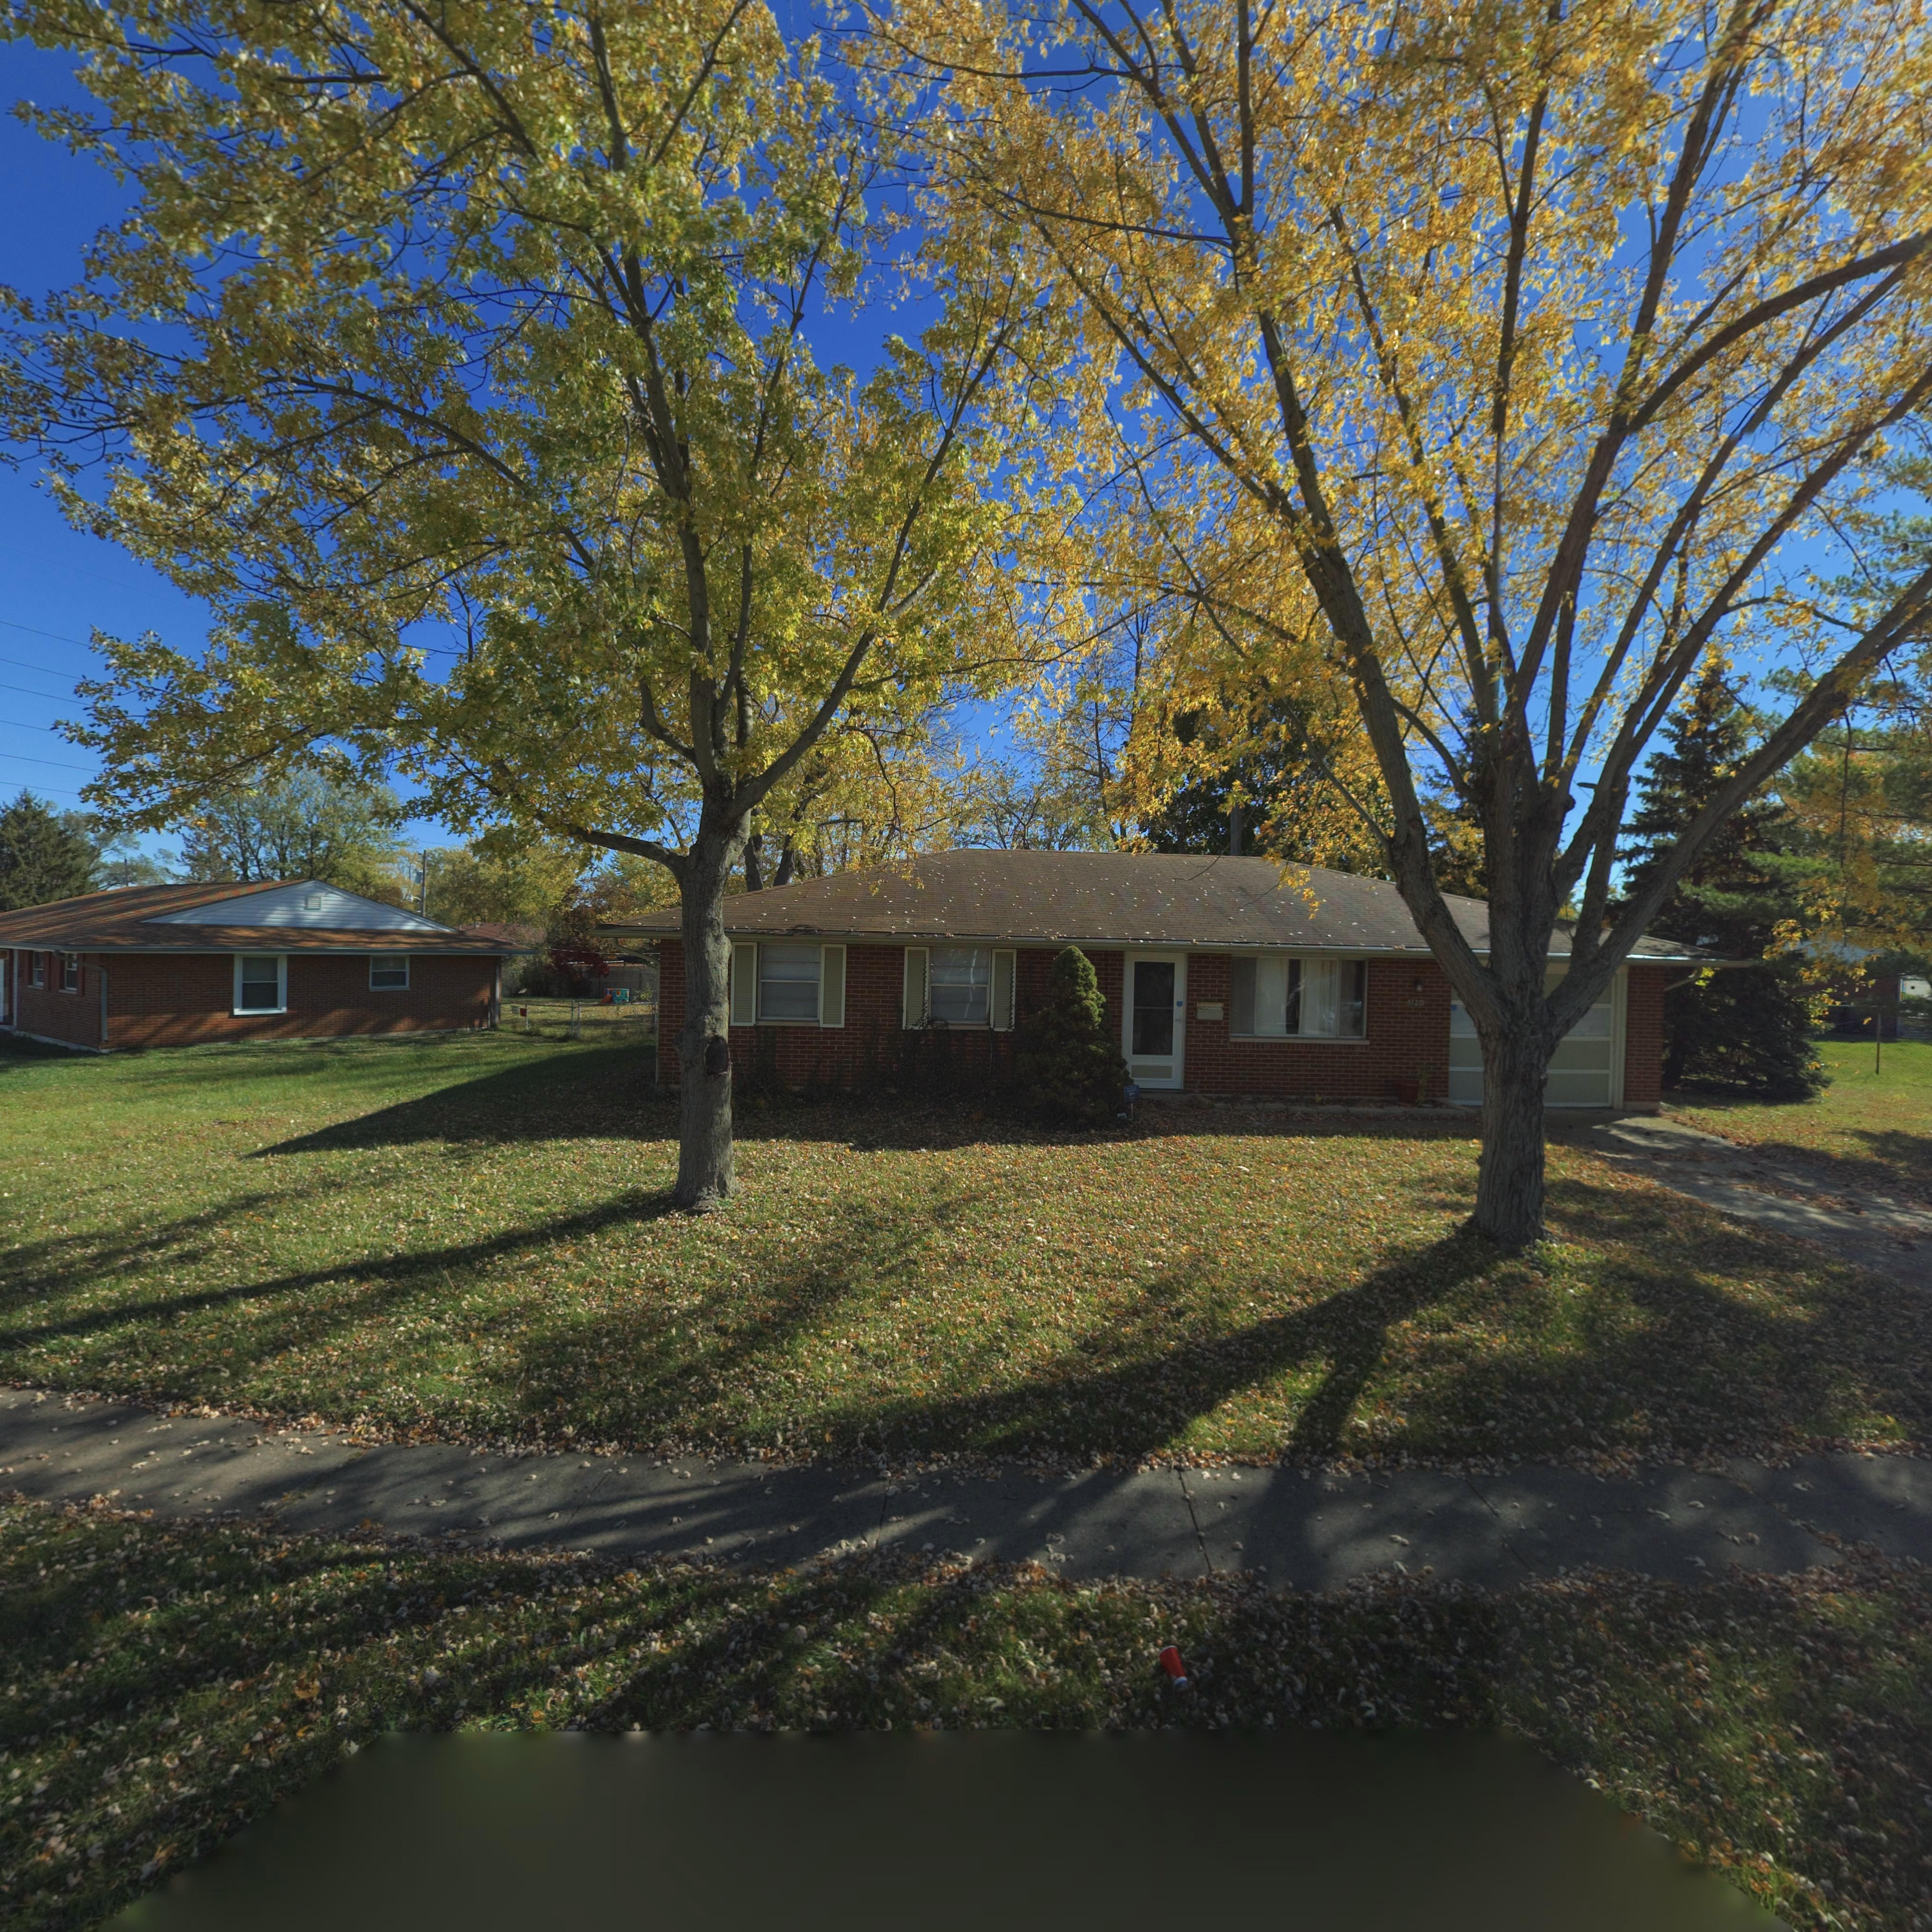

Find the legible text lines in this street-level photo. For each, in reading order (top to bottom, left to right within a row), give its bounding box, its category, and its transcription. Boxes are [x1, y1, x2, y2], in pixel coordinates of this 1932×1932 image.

[1410, 998, 1424, 1007] StreetNumber: 120